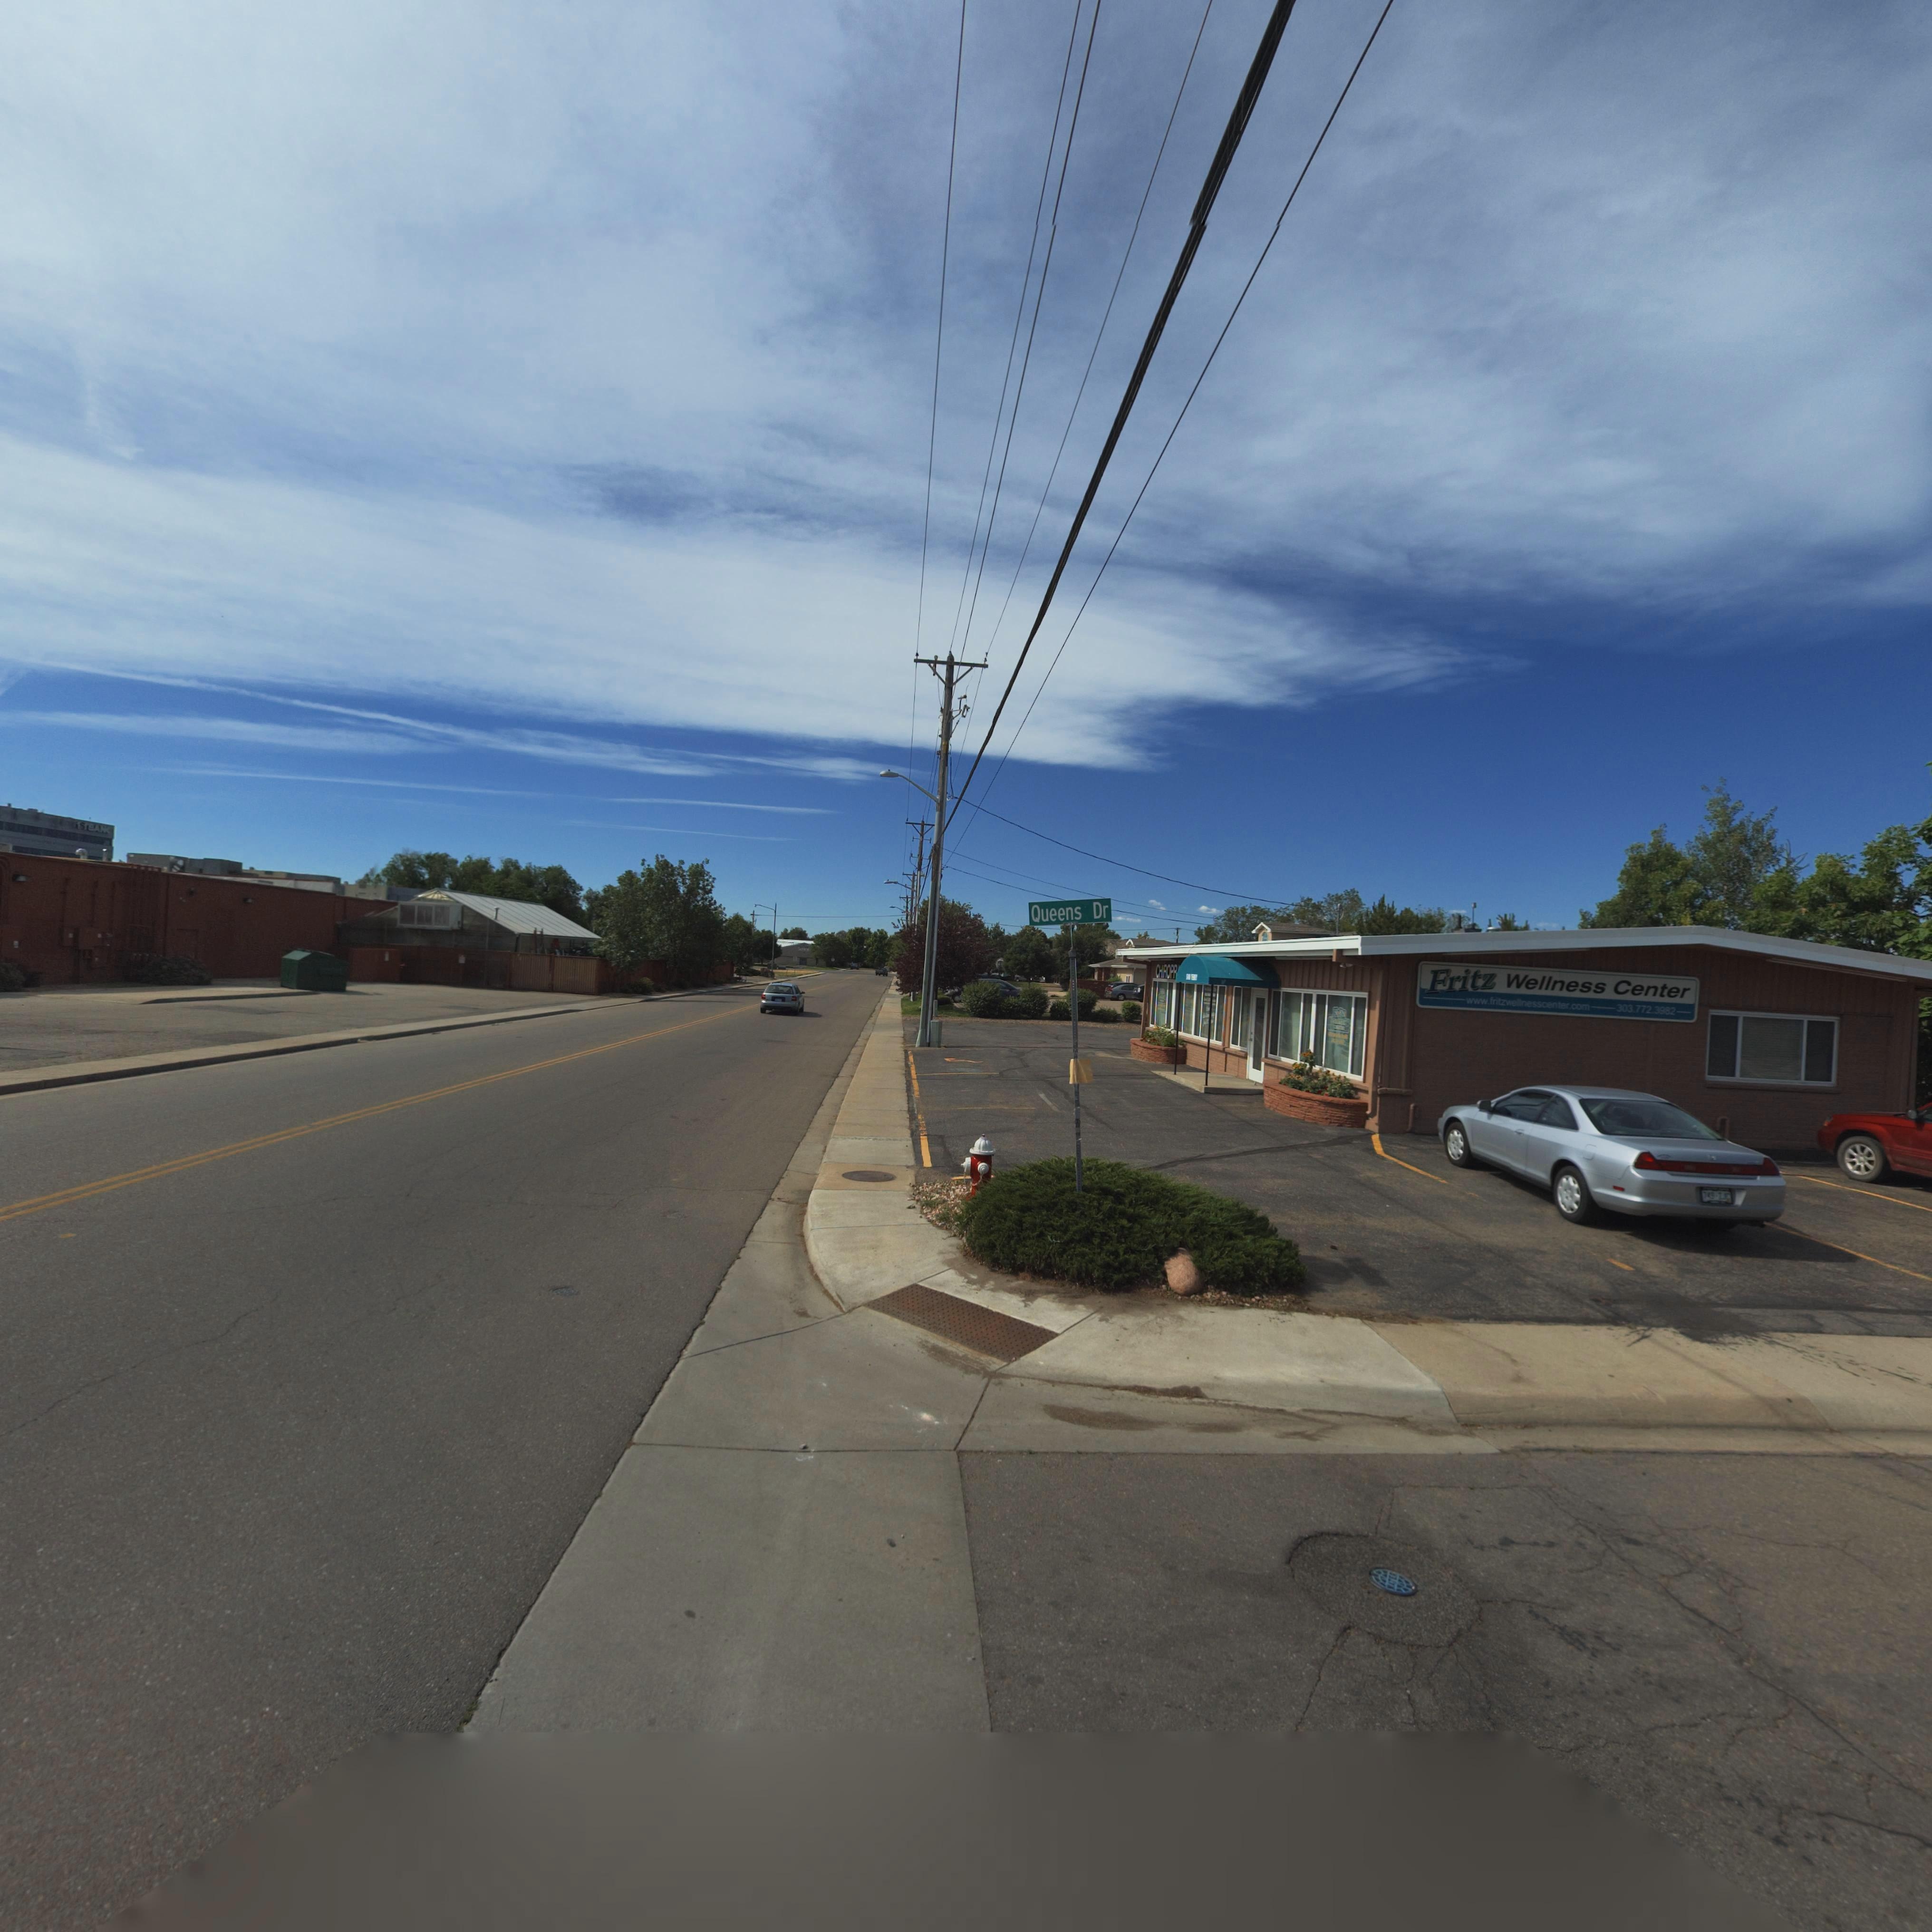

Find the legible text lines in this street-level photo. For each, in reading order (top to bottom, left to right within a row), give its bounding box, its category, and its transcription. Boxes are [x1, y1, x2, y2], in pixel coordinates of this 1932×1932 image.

[75, 820, 111, 834] BusinessName: 1STBAN*
[1030, 901, 1109, 923] StreetName: Queens Dr
[1424, 967, 1691, 999] BusinessName: Fritz Wellness Center